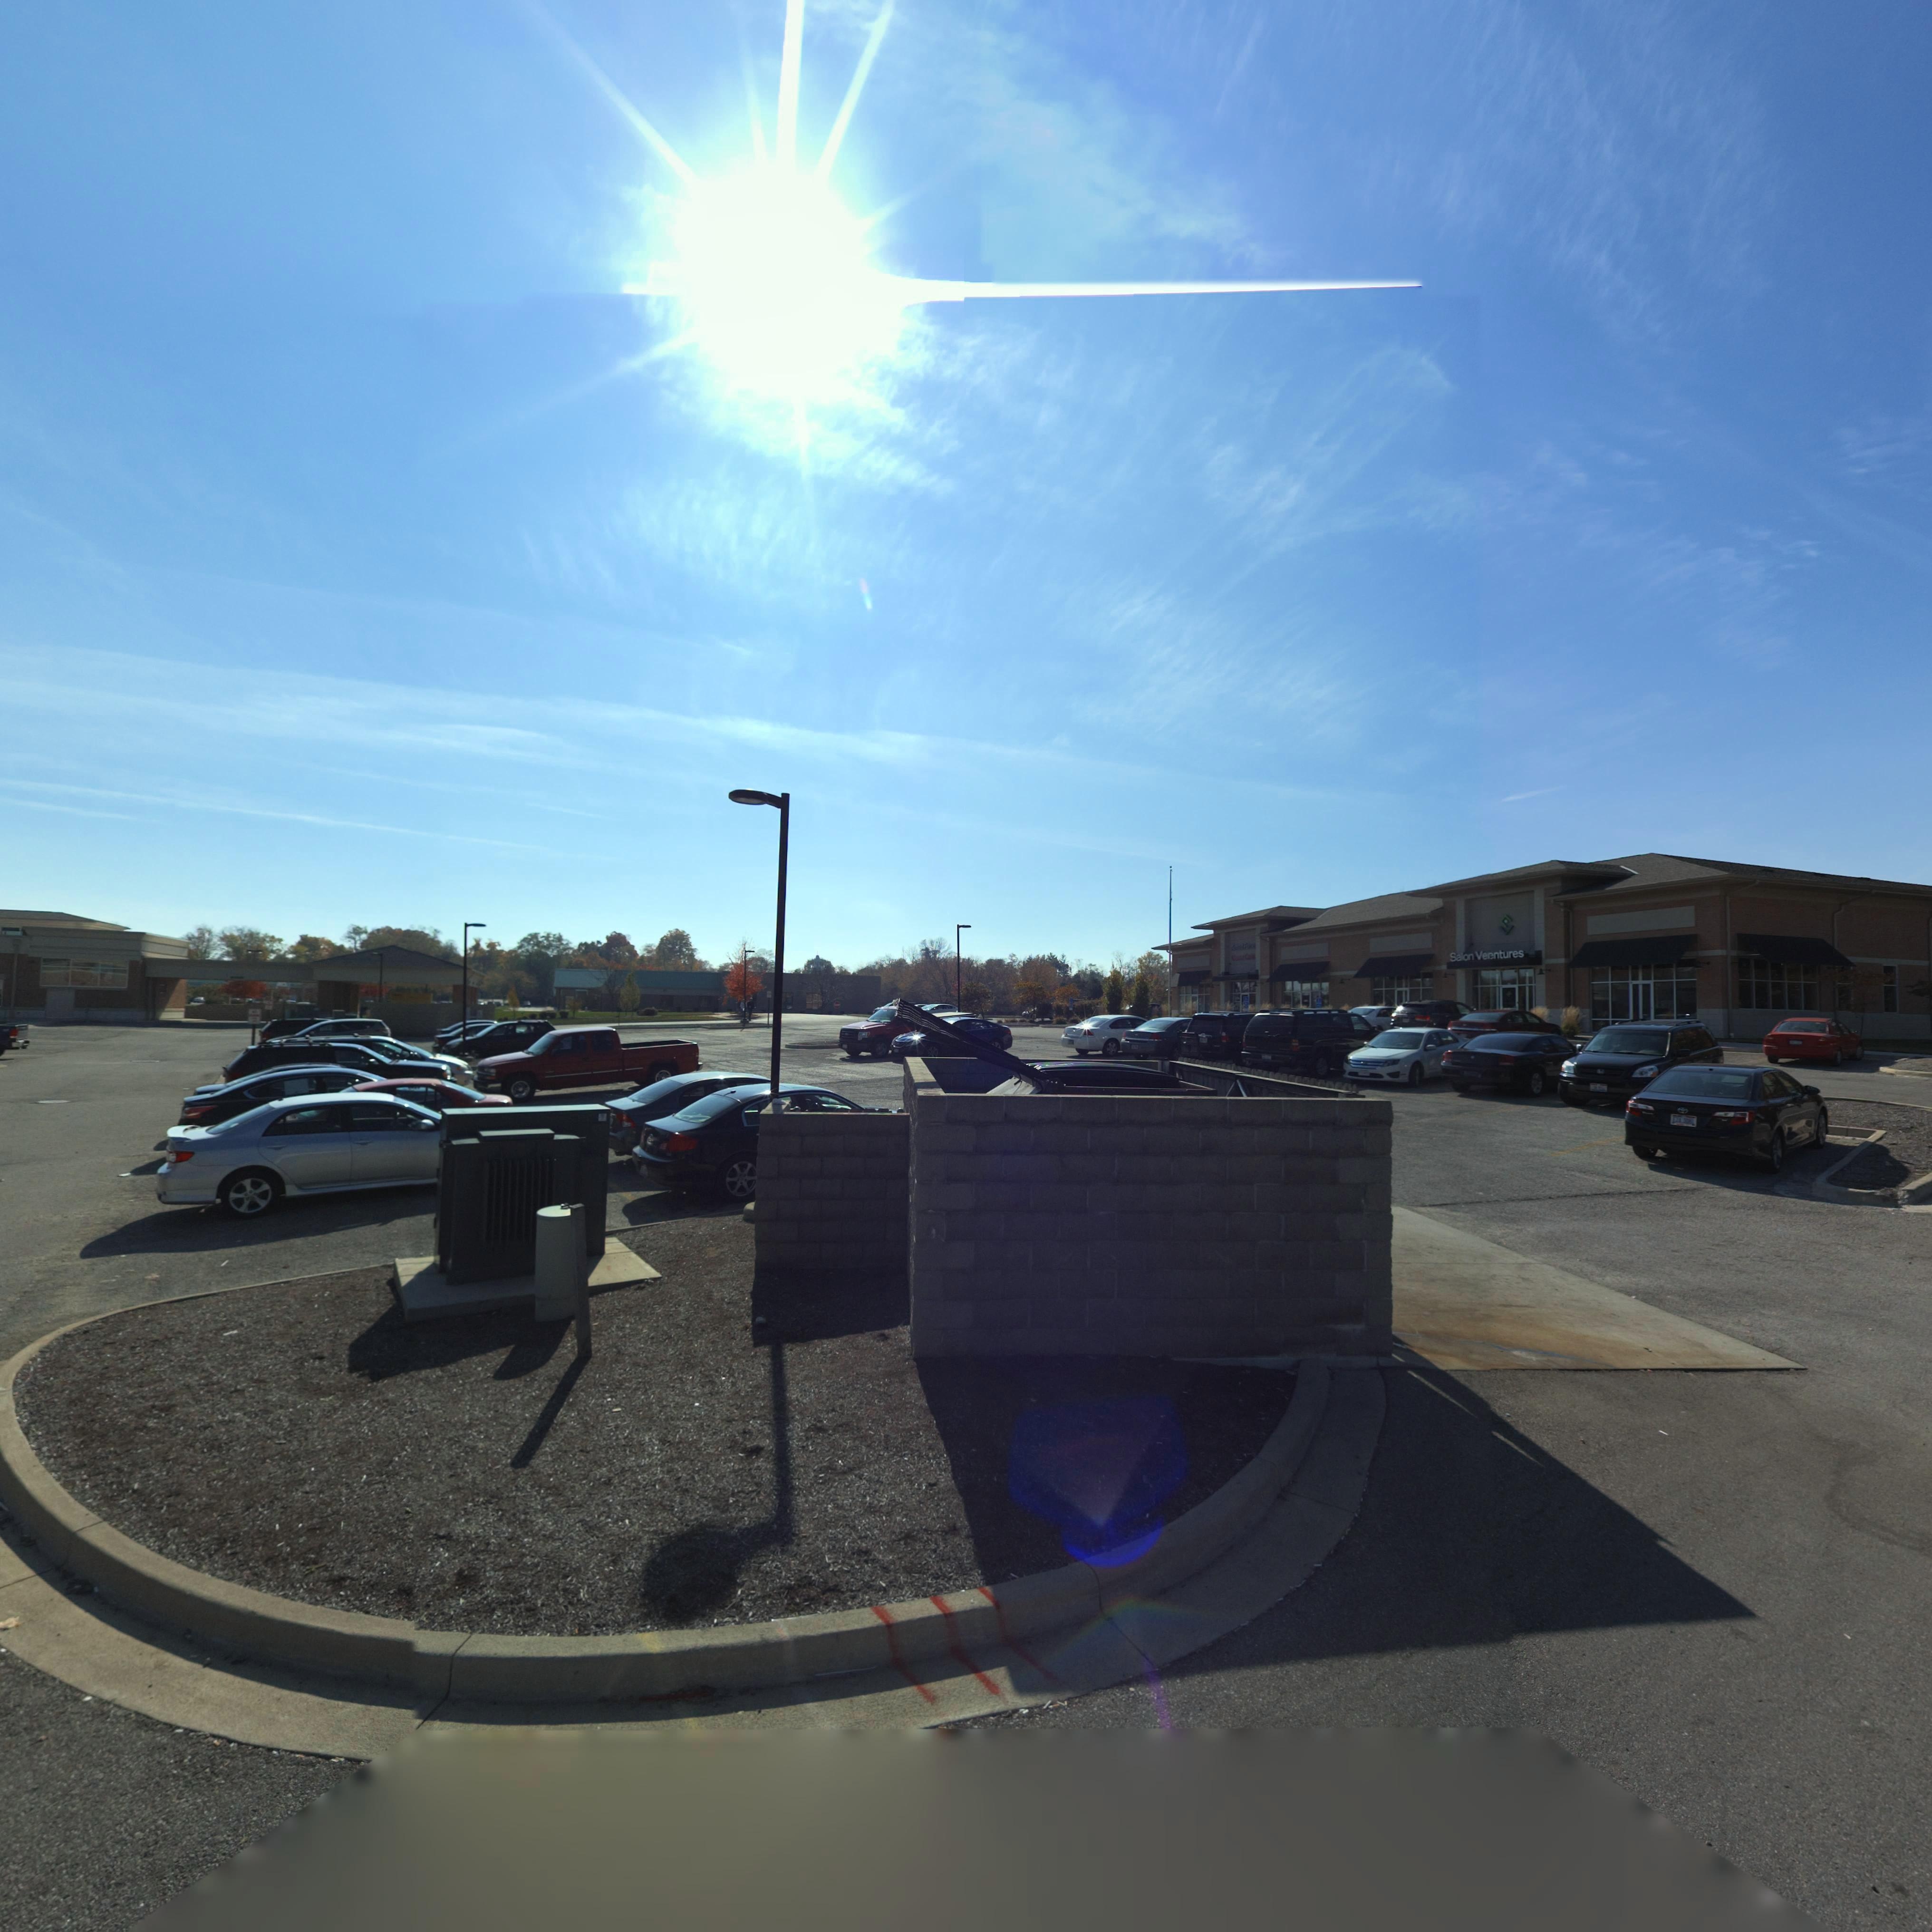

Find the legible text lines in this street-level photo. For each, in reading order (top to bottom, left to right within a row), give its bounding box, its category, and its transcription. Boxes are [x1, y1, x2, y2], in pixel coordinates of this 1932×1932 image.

[1449, 948, 1526, 963] BusinessName: Salon Ve*ntures